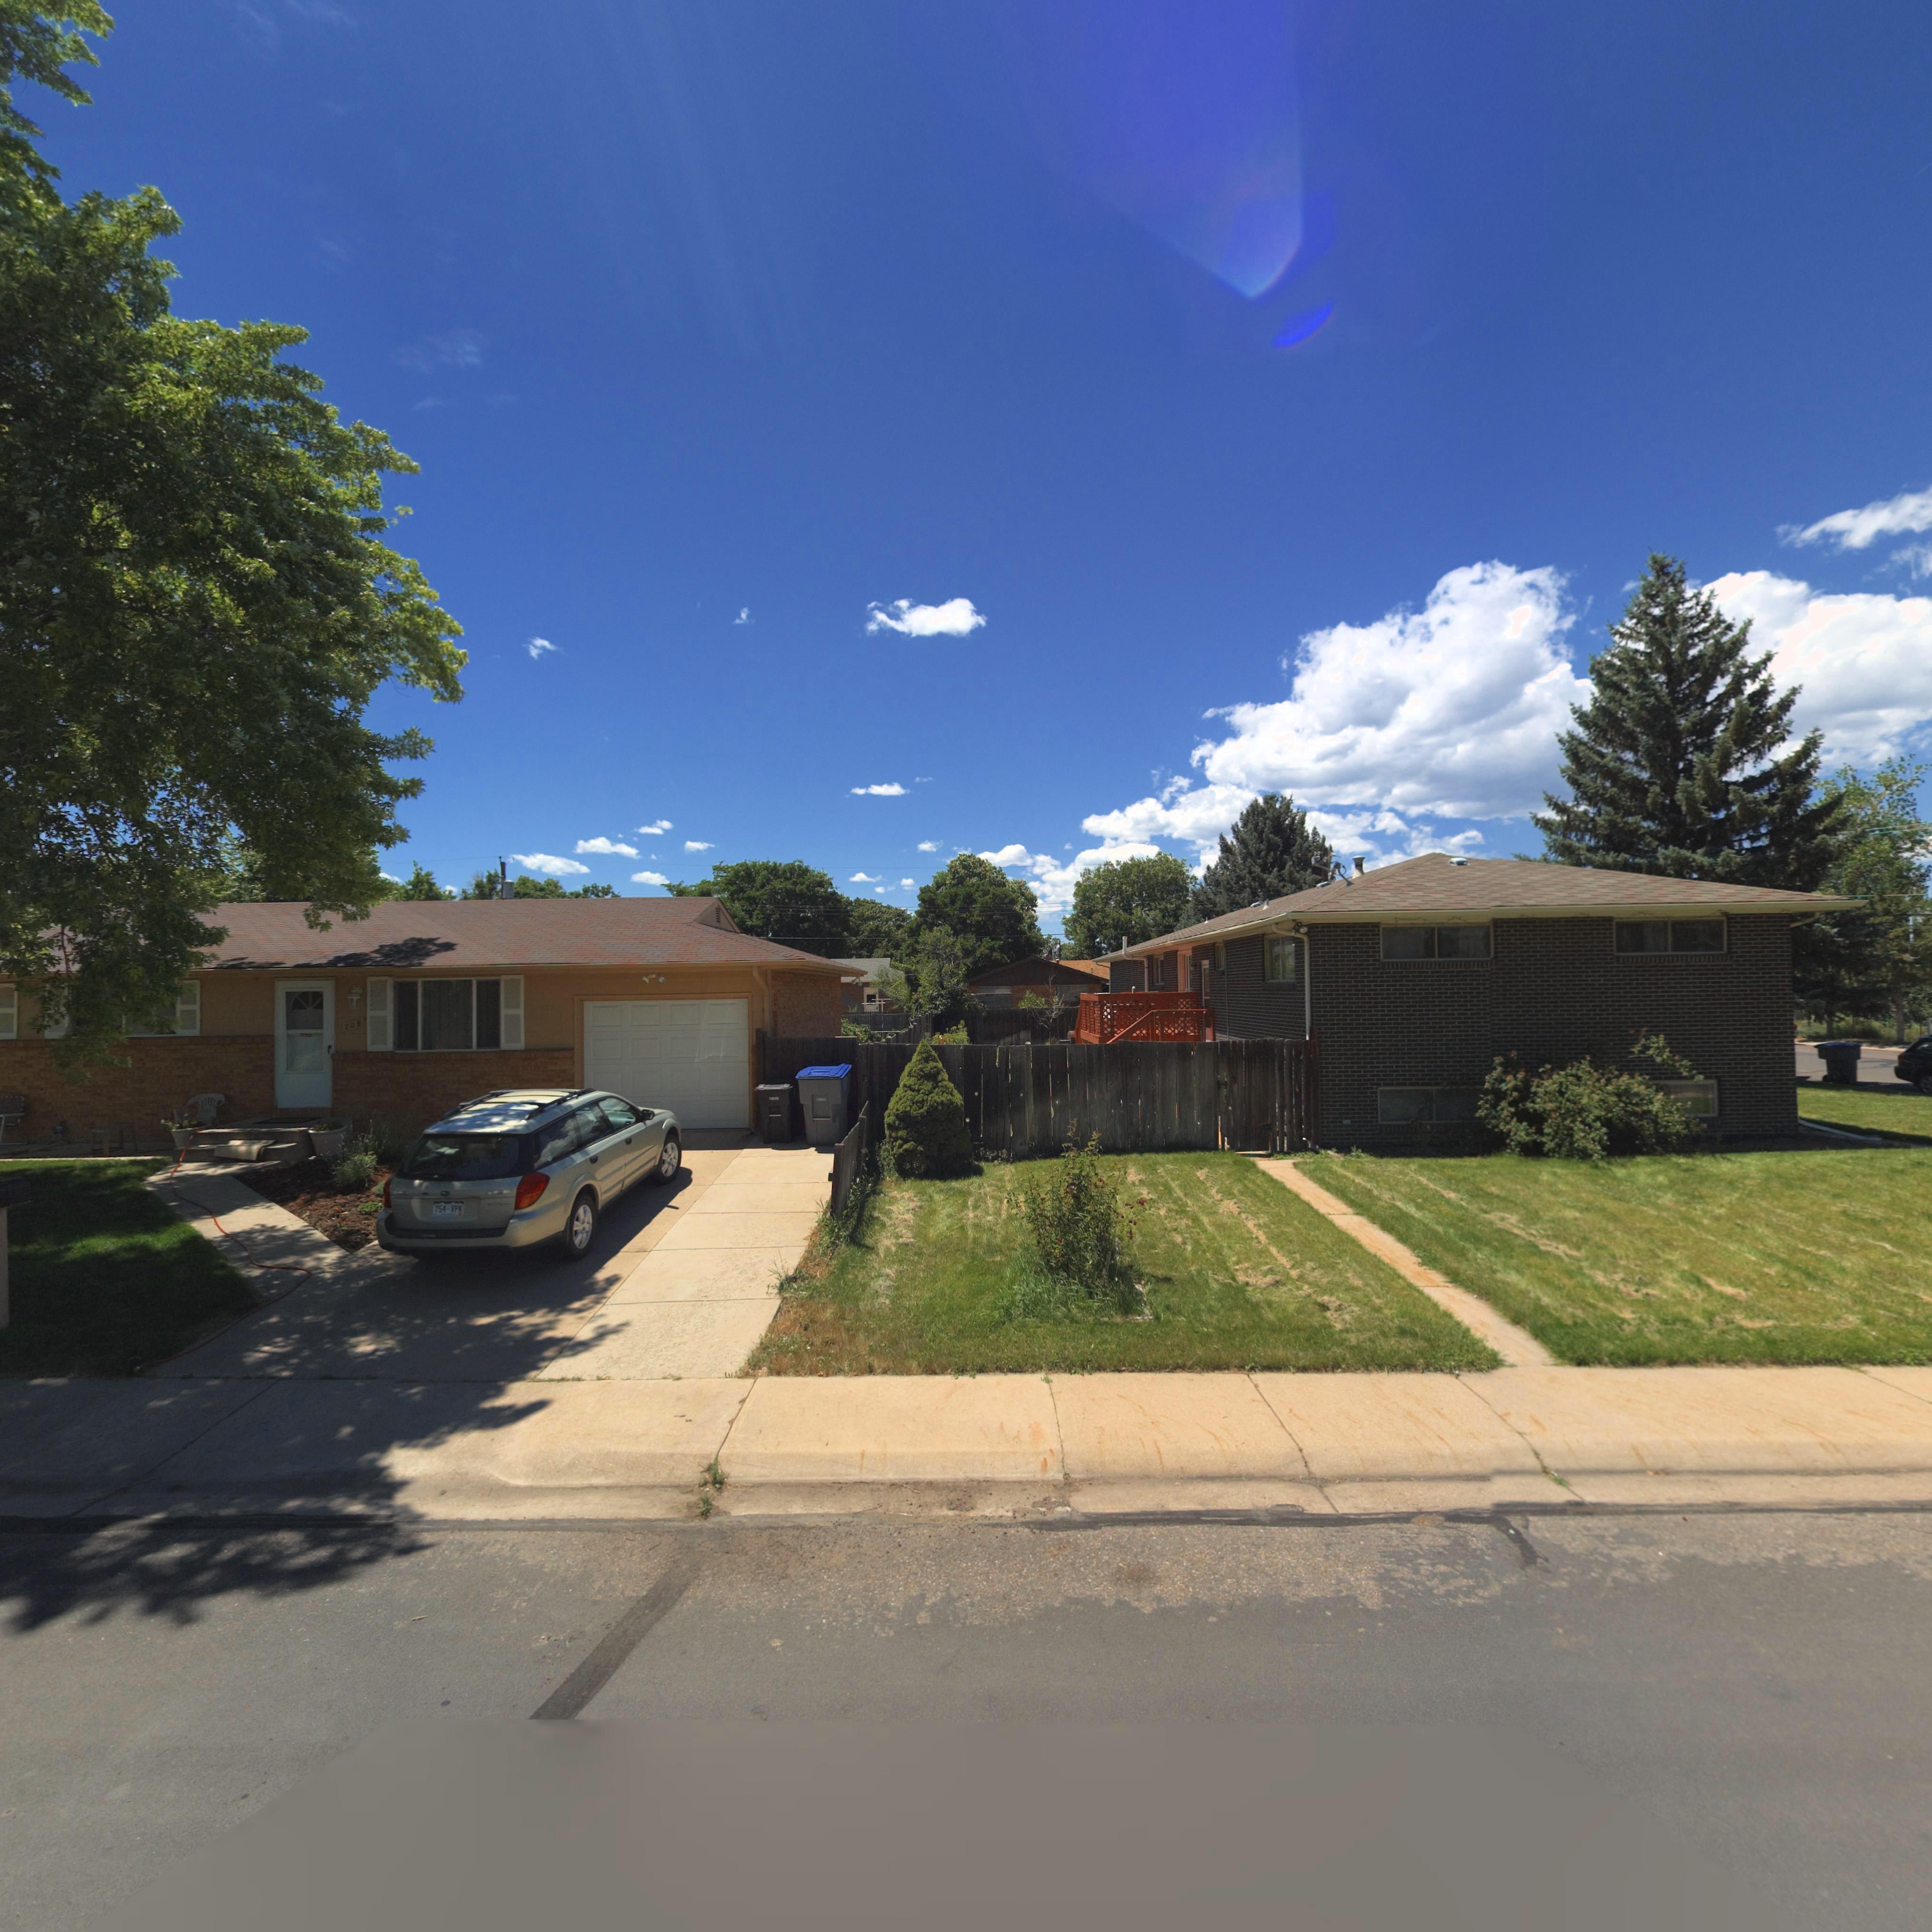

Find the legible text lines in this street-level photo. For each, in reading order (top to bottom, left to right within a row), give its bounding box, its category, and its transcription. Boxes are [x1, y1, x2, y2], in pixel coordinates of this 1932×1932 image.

[343, 1020, 361, 1031] StreetNumber: 709